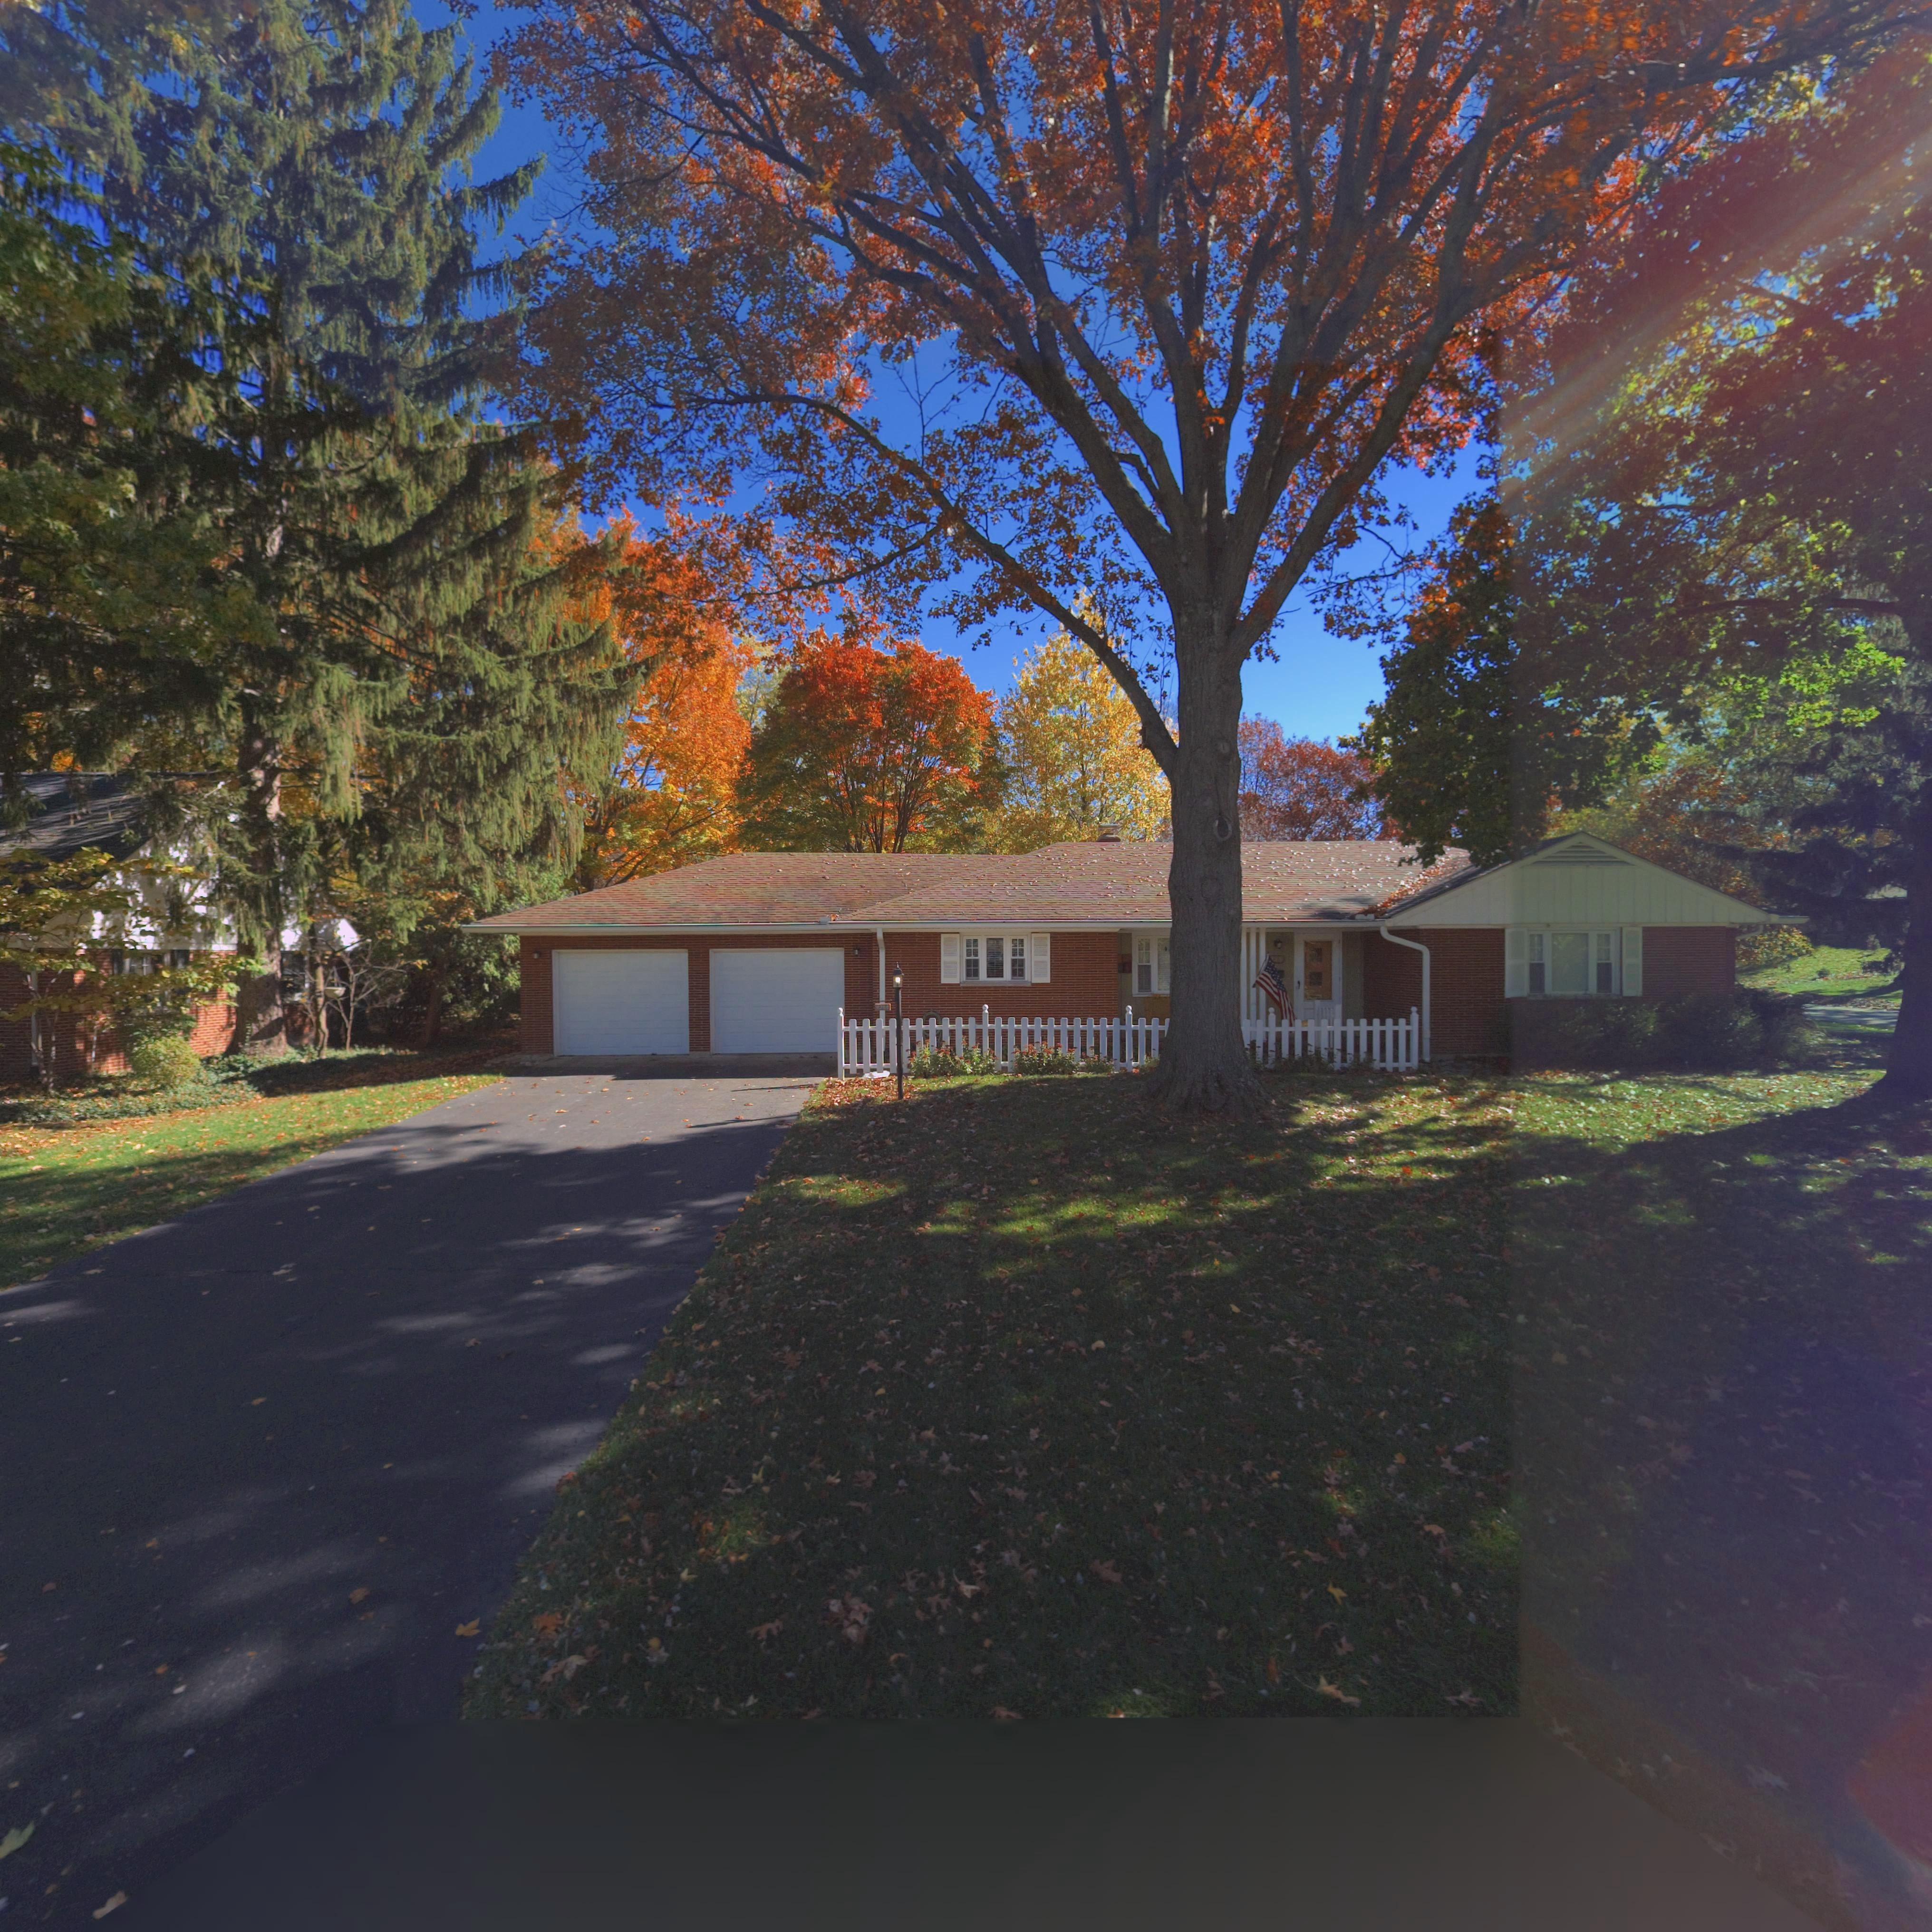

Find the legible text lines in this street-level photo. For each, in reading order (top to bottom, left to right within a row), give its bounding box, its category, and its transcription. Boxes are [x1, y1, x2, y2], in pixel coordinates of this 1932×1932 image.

[875, 1005, 889, 1010] StreetNumber: 4288